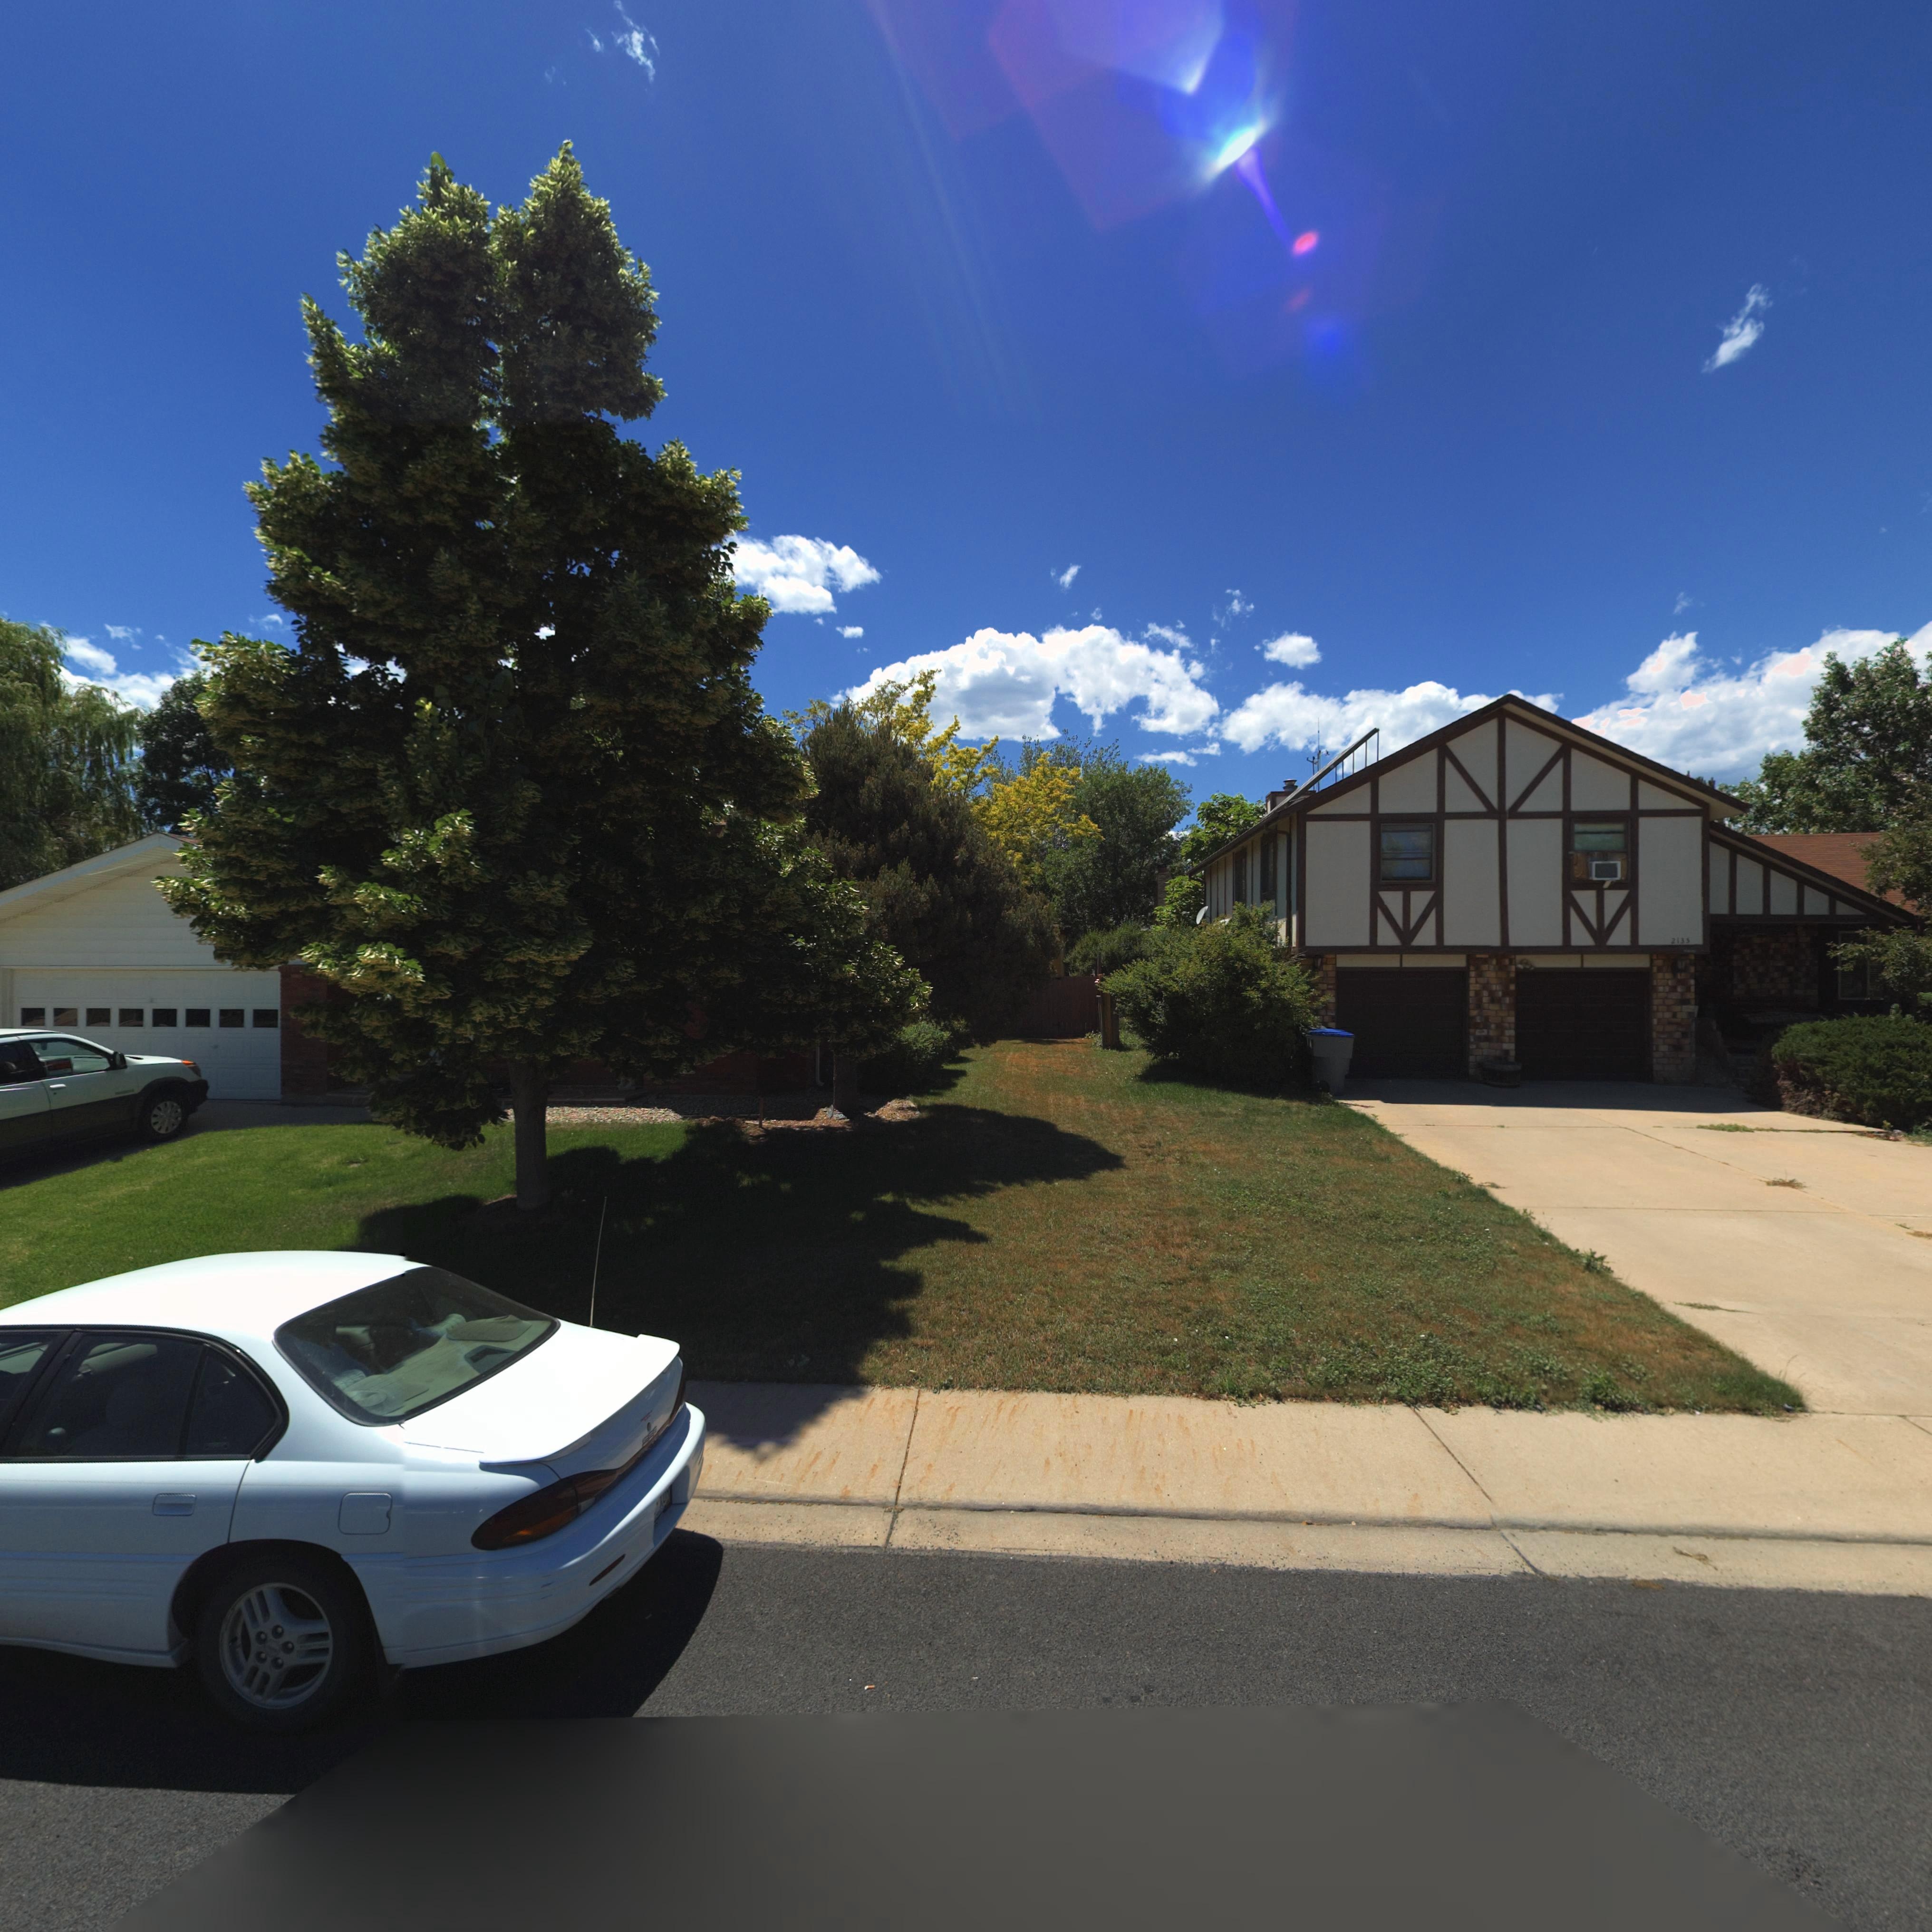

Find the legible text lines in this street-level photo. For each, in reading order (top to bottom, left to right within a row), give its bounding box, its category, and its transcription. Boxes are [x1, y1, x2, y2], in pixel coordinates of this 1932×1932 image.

[1671, 937, 1690, 944] StreetNumber: 2135